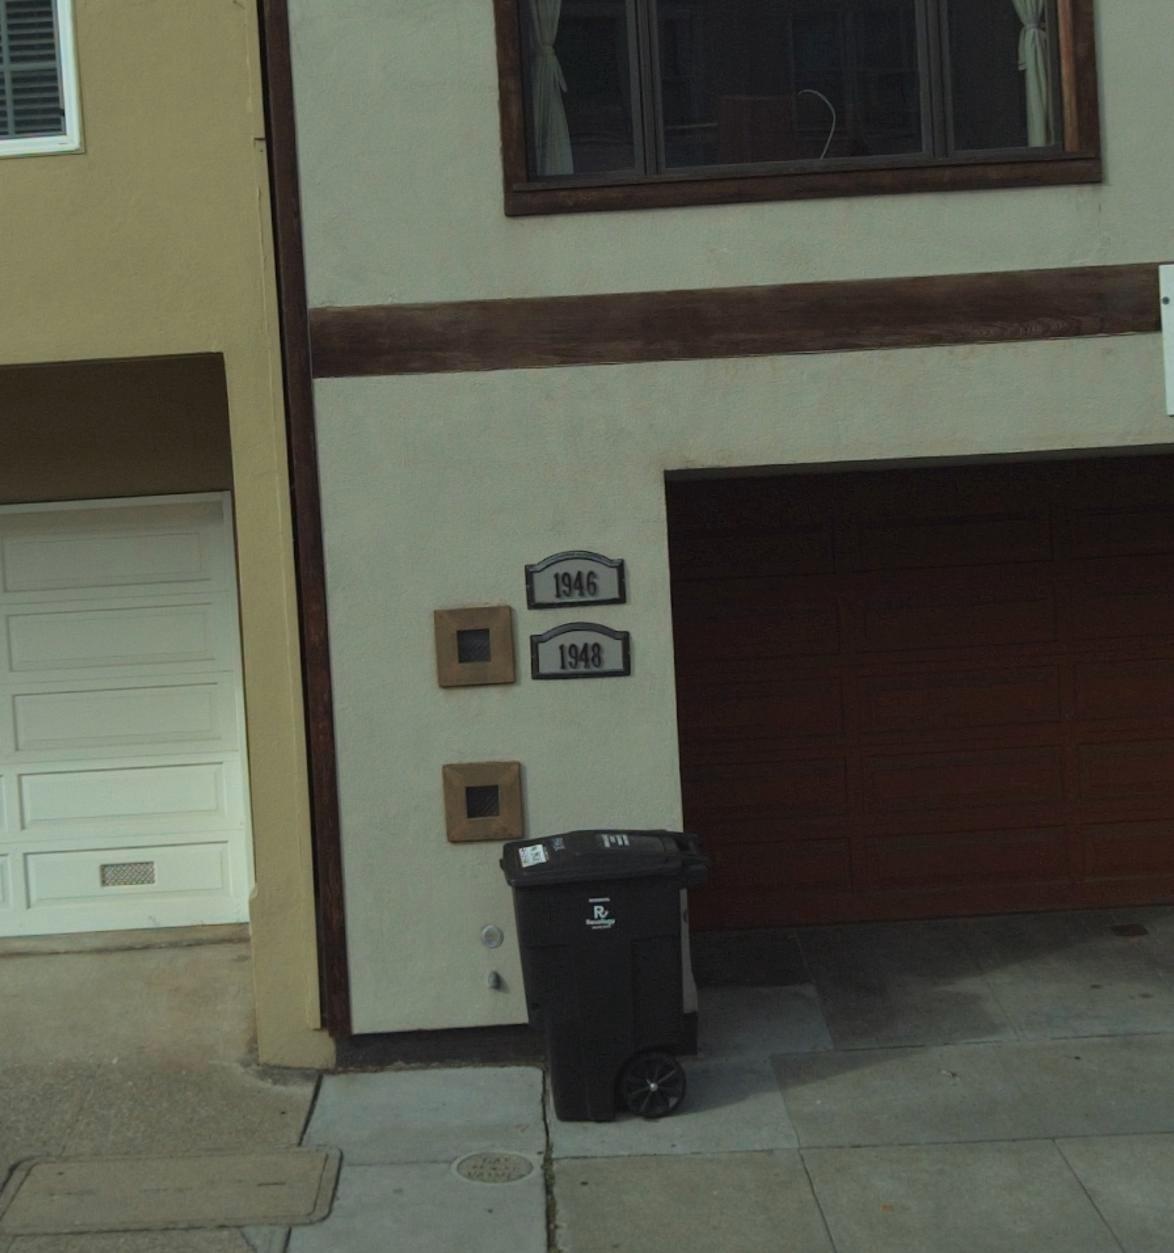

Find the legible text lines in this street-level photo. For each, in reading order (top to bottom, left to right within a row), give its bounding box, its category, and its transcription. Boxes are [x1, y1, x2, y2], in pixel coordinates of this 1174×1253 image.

[551, 566, 601, 601] StreetNumber: 1946
[556, 638, 606, 673] StreetNumber: 1948